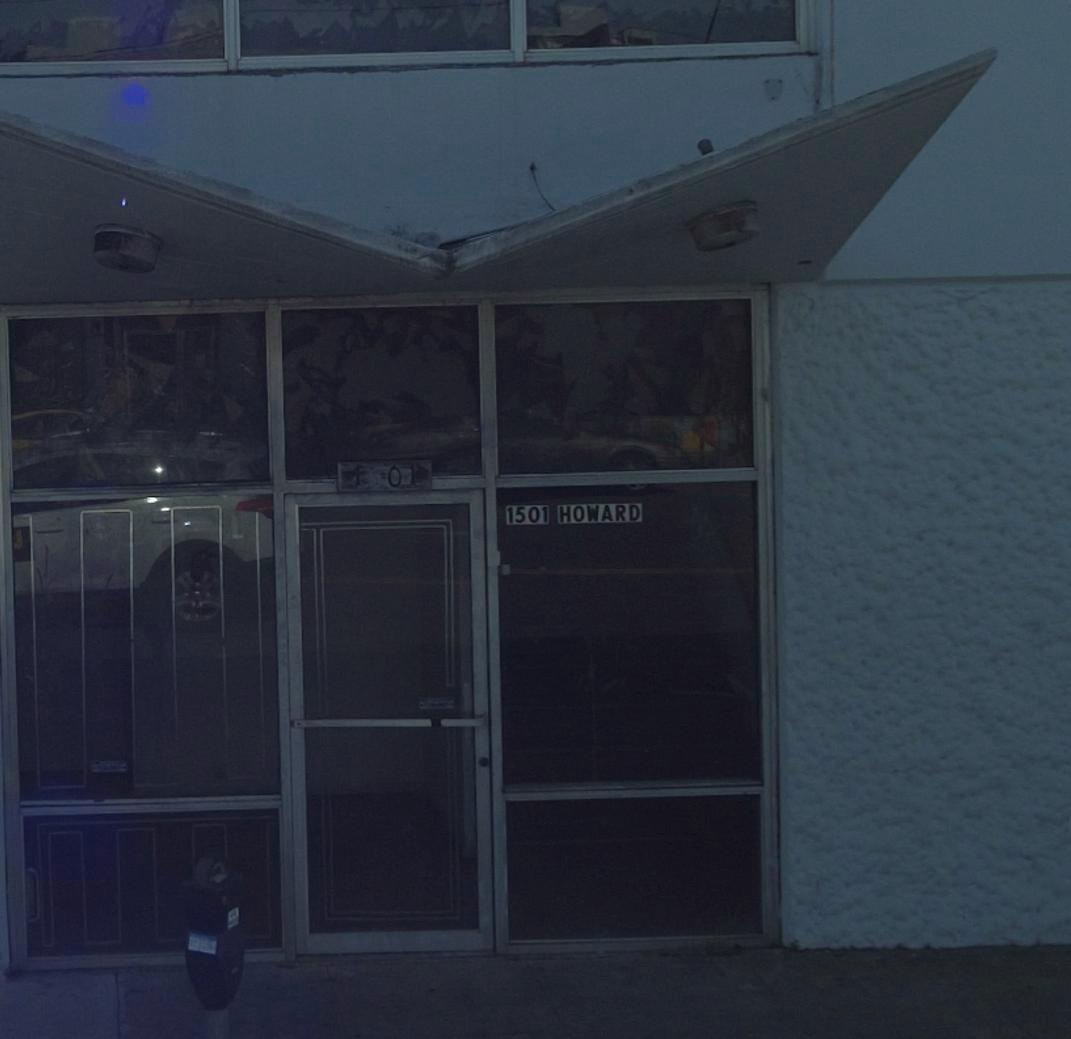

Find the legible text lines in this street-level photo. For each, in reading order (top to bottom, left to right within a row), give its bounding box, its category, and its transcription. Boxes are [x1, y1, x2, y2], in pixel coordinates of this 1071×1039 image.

[385, 462, 420, 490] StreetNumber: 01
[503, 502, 553, 527] StreetNumber: 1501
[556, 500, 645, 525] StreetName: HOWARD